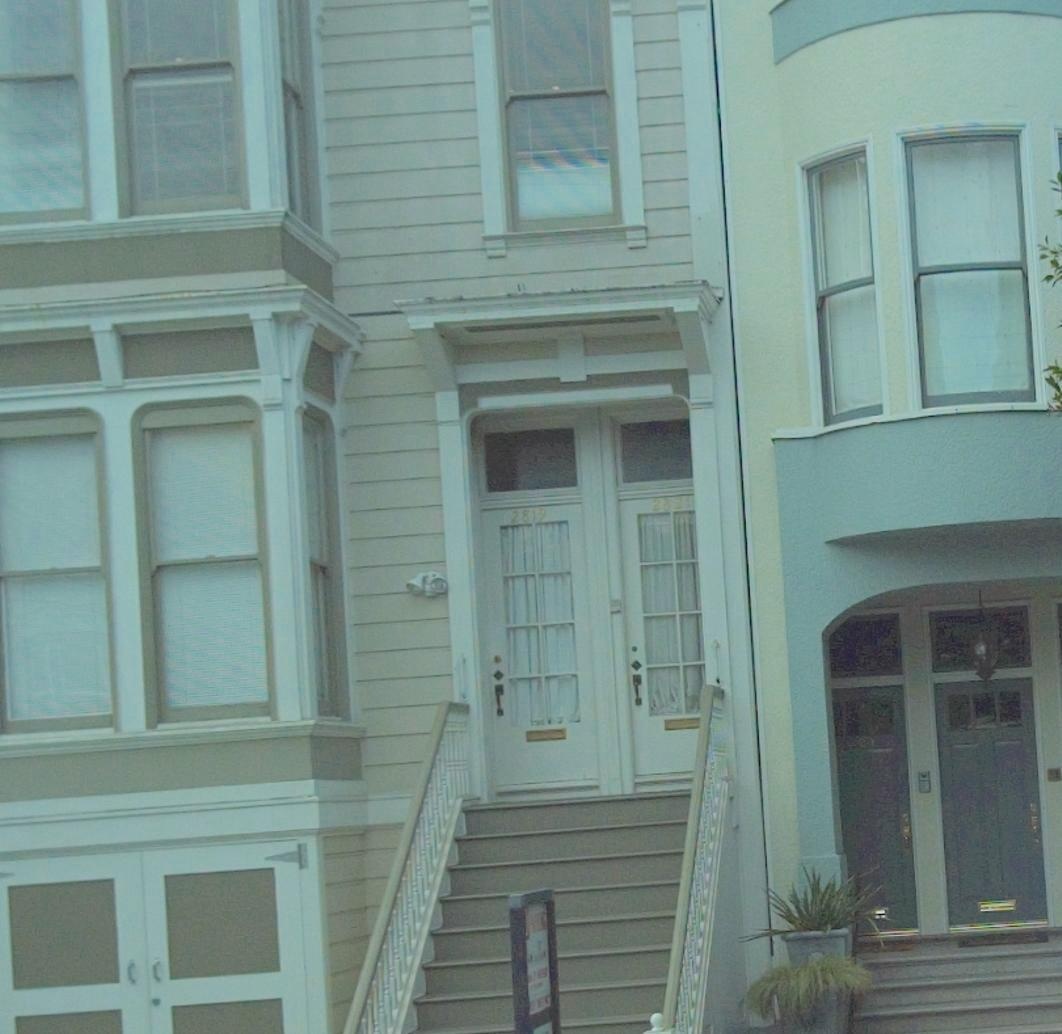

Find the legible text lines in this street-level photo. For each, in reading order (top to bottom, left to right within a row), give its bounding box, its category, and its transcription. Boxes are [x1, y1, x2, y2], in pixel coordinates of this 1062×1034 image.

[649, 494, 693, 513] StreetNumber: 2821
[508, 505, 550, 526] StreetNumber: 2819